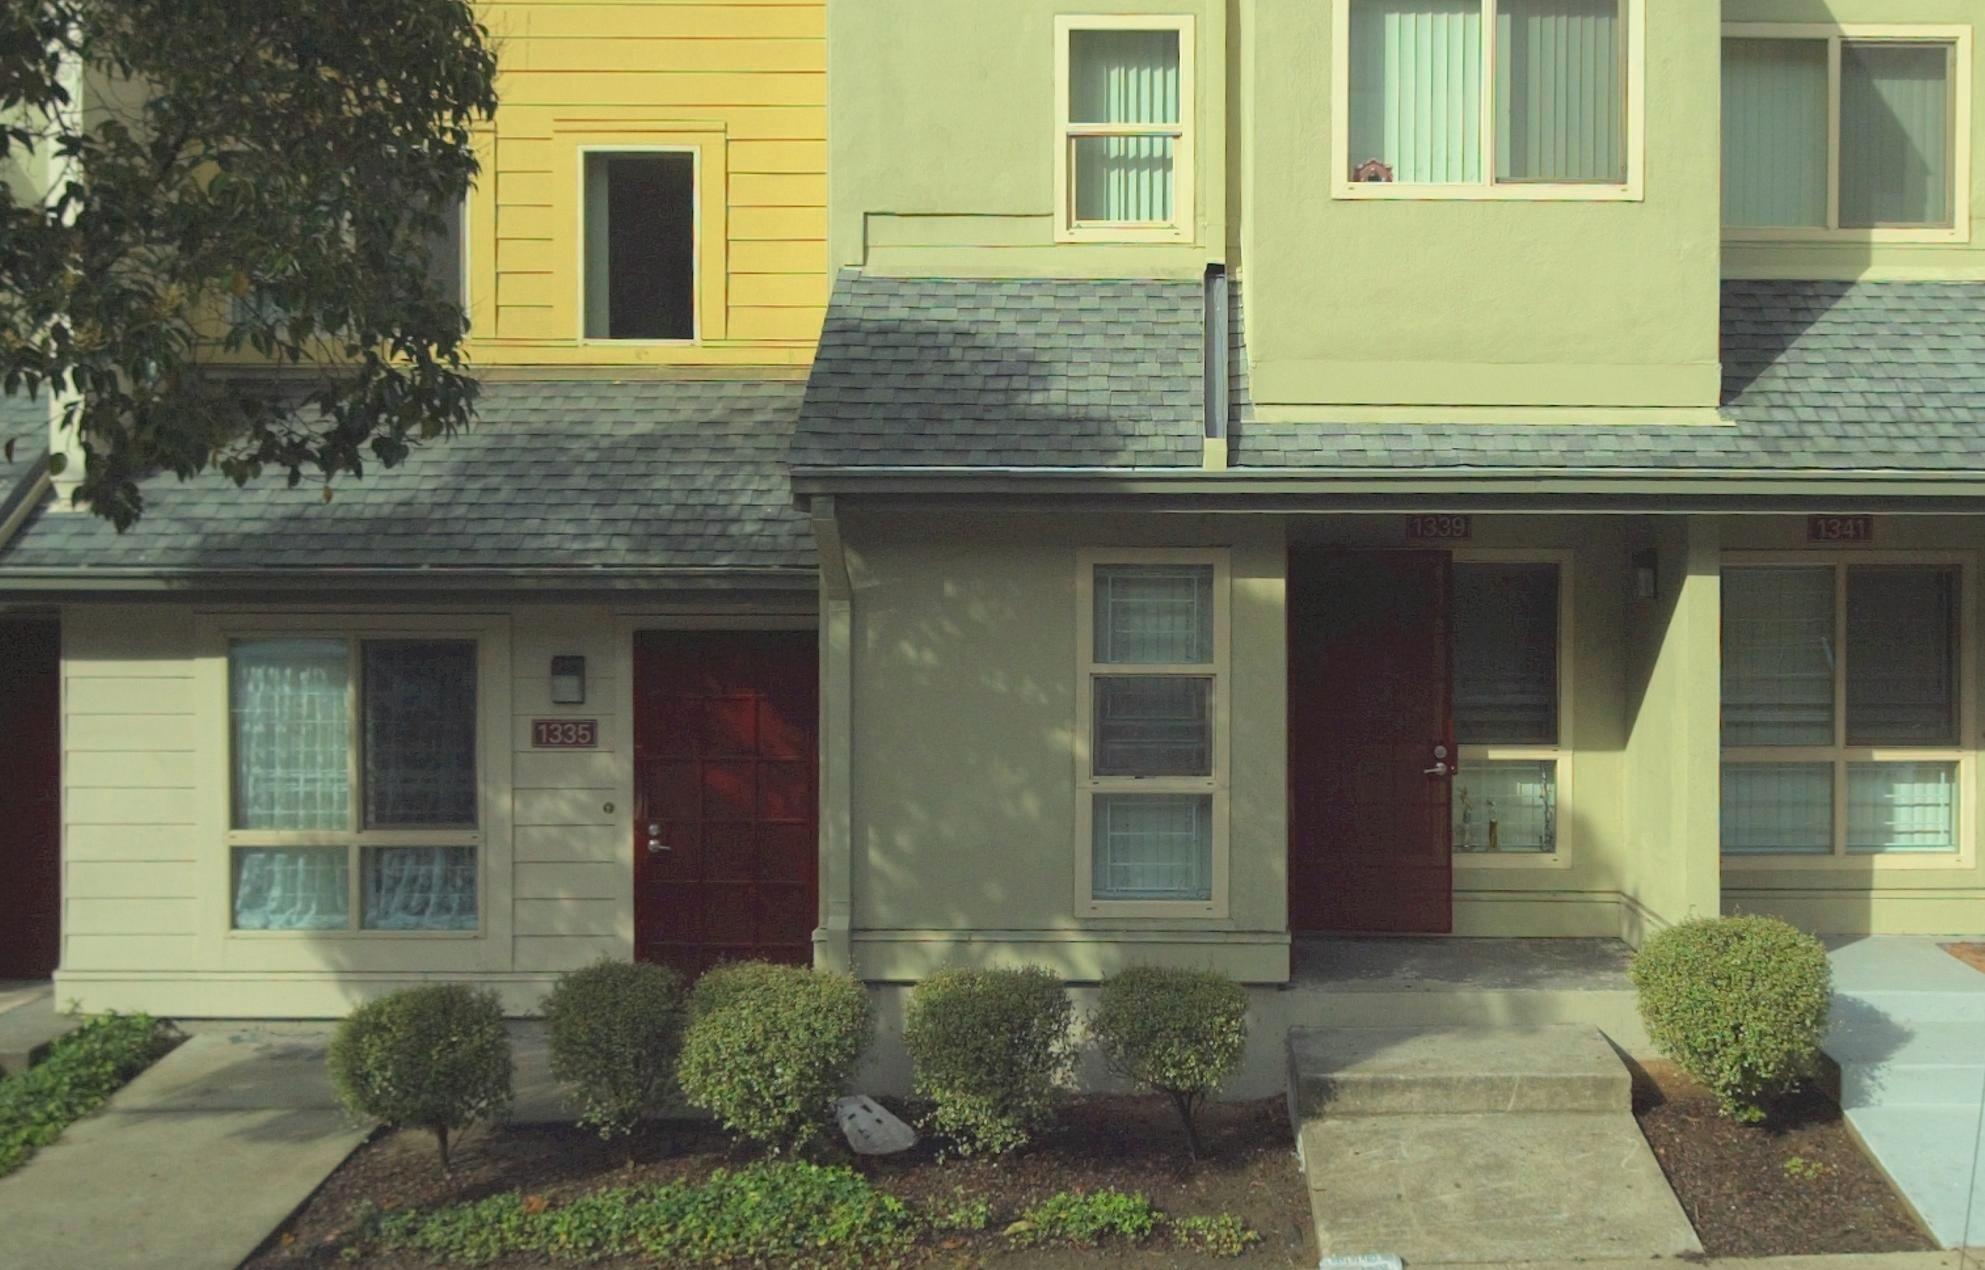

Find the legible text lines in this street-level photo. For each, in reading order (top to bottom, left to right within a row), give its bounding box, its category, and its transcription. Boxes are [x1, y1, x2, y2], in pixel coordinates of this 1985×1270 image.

[1410, 515, 1467, 540] StreetNumber: 1339
[1814, 516, 1867, 541] StreetNumber: 1341
[536, 720, 594, 747] StreetNumber: 1335